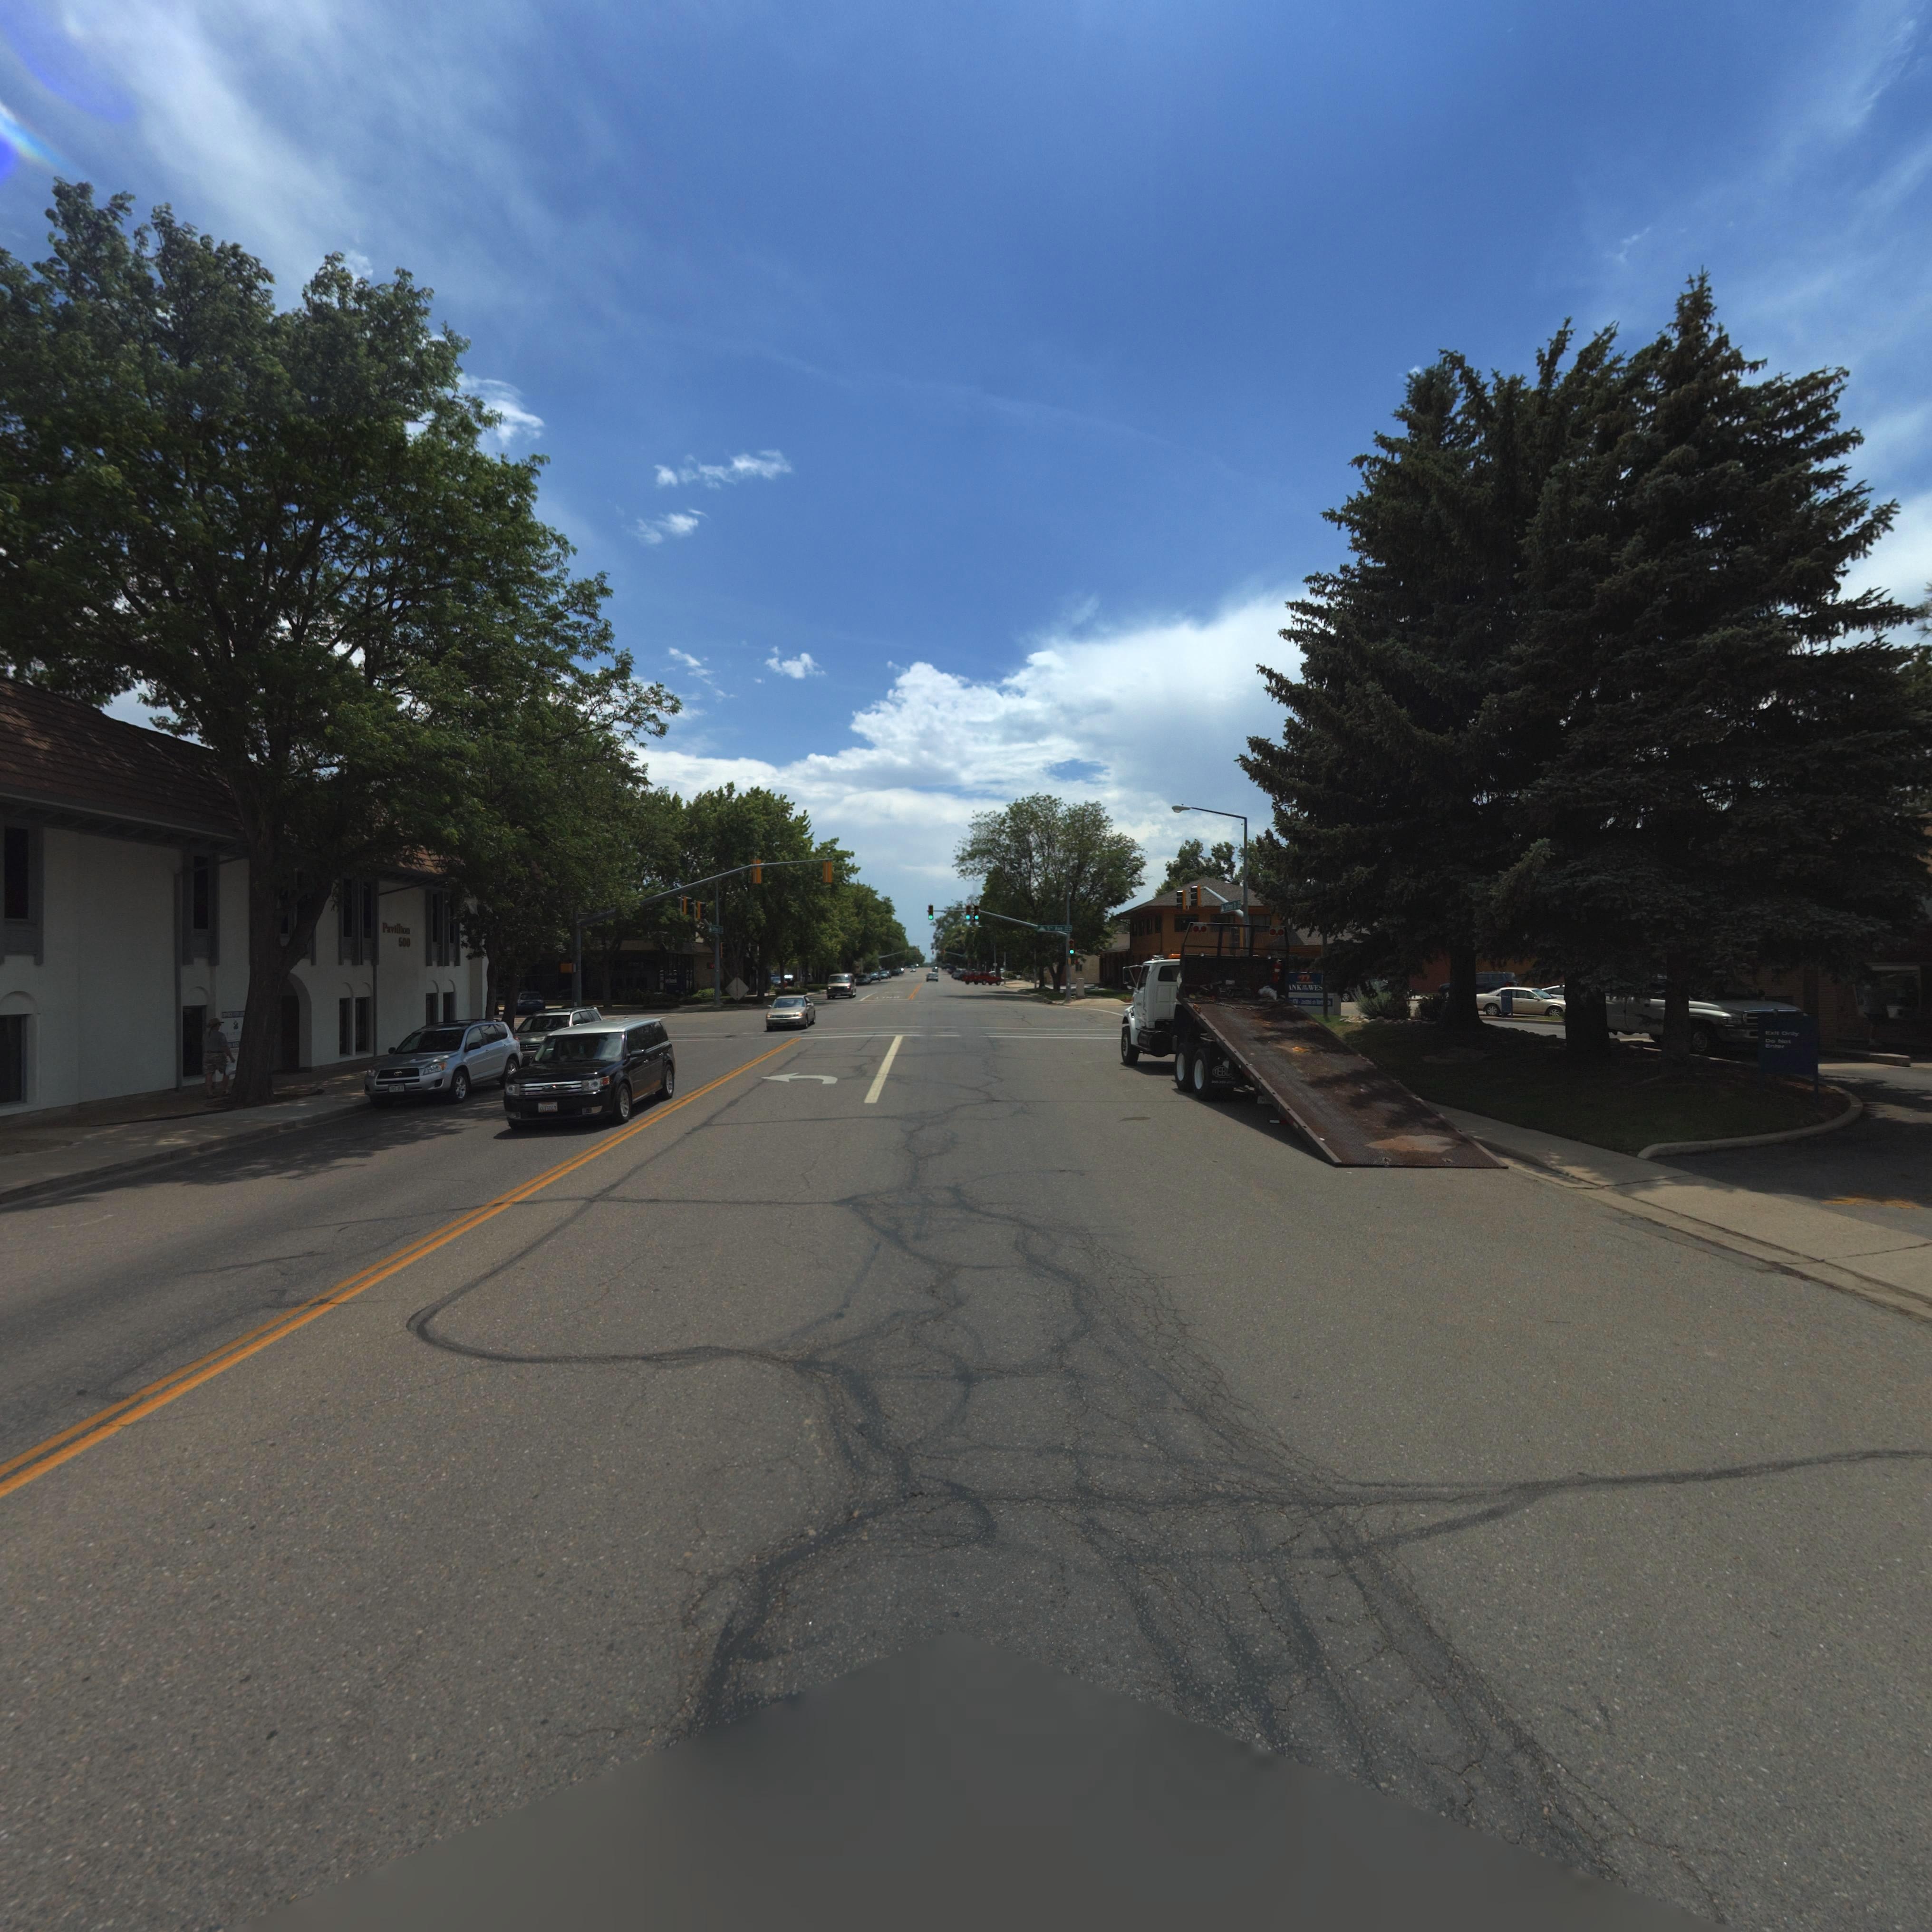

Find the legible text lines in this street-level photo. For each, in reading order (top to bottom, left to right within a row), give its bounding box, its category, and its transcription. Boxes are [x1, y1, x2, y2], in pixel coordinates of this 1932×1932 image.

[1047, 926, 1063, 930] StreetName: 5th Ave
[398, 937, 411, 947] StreetNumber: 500
[1288, 984, 1324, 990] BusinessName: **NK WES*